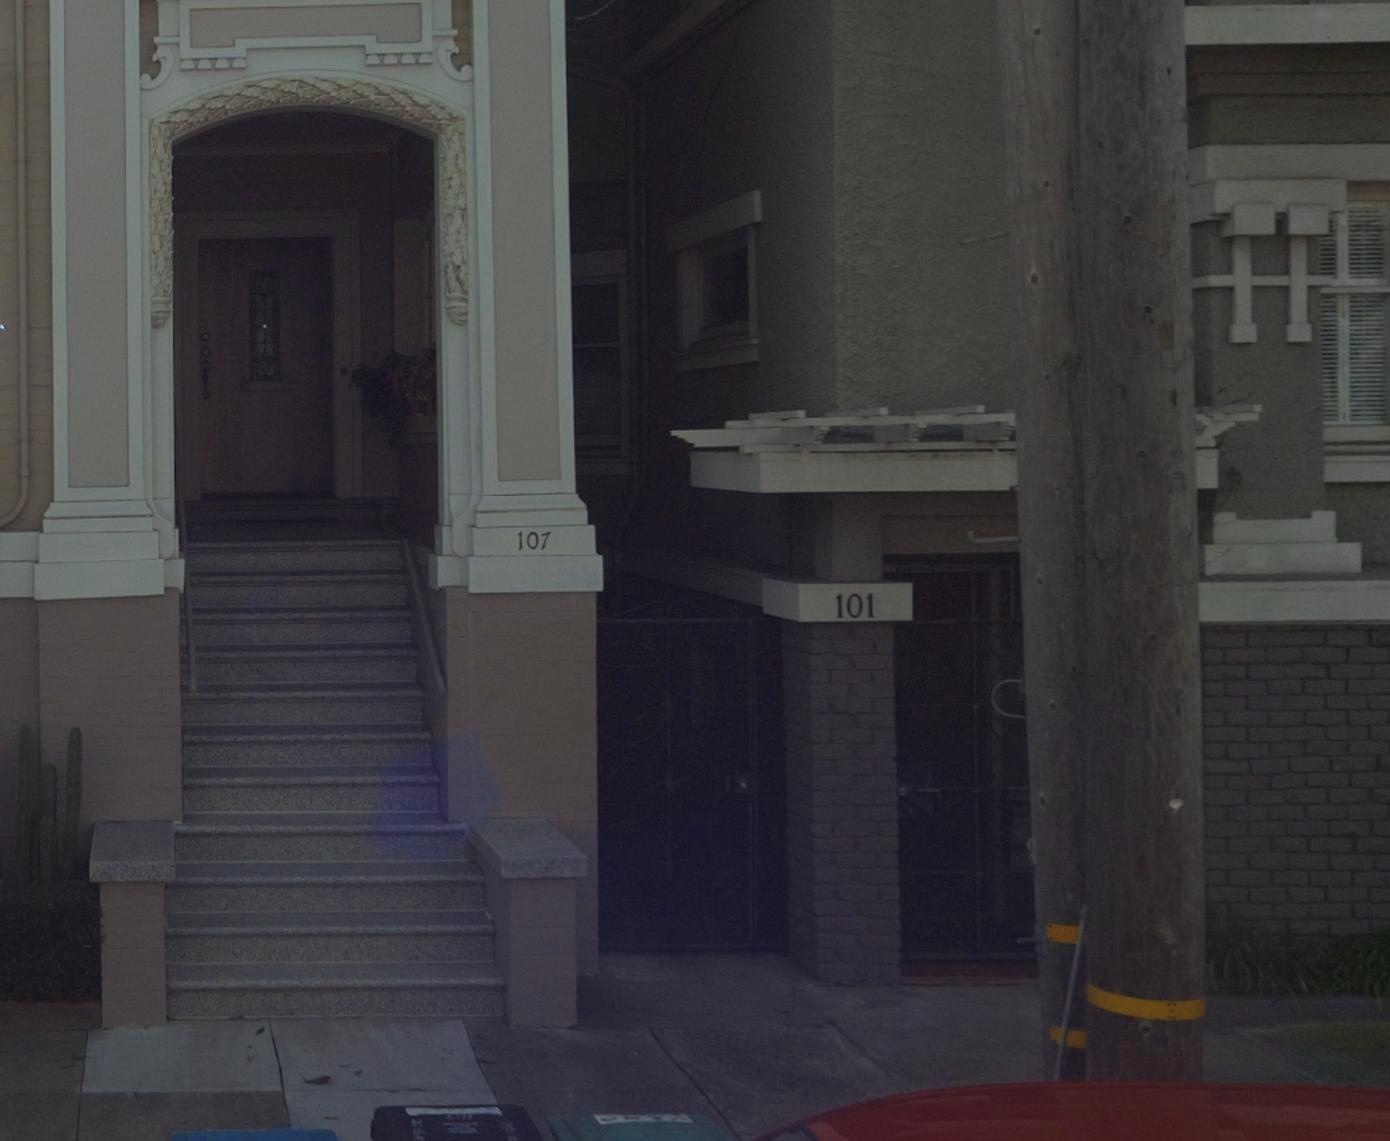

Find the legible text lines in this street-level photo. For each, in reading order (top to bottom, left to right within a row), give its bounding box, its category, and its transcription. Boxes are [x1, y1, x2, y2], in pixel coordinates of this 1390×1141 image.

[515, 529, 553, 552] StreetNumber: 107
[833, 591, 876, 620] StreetNumber: 101